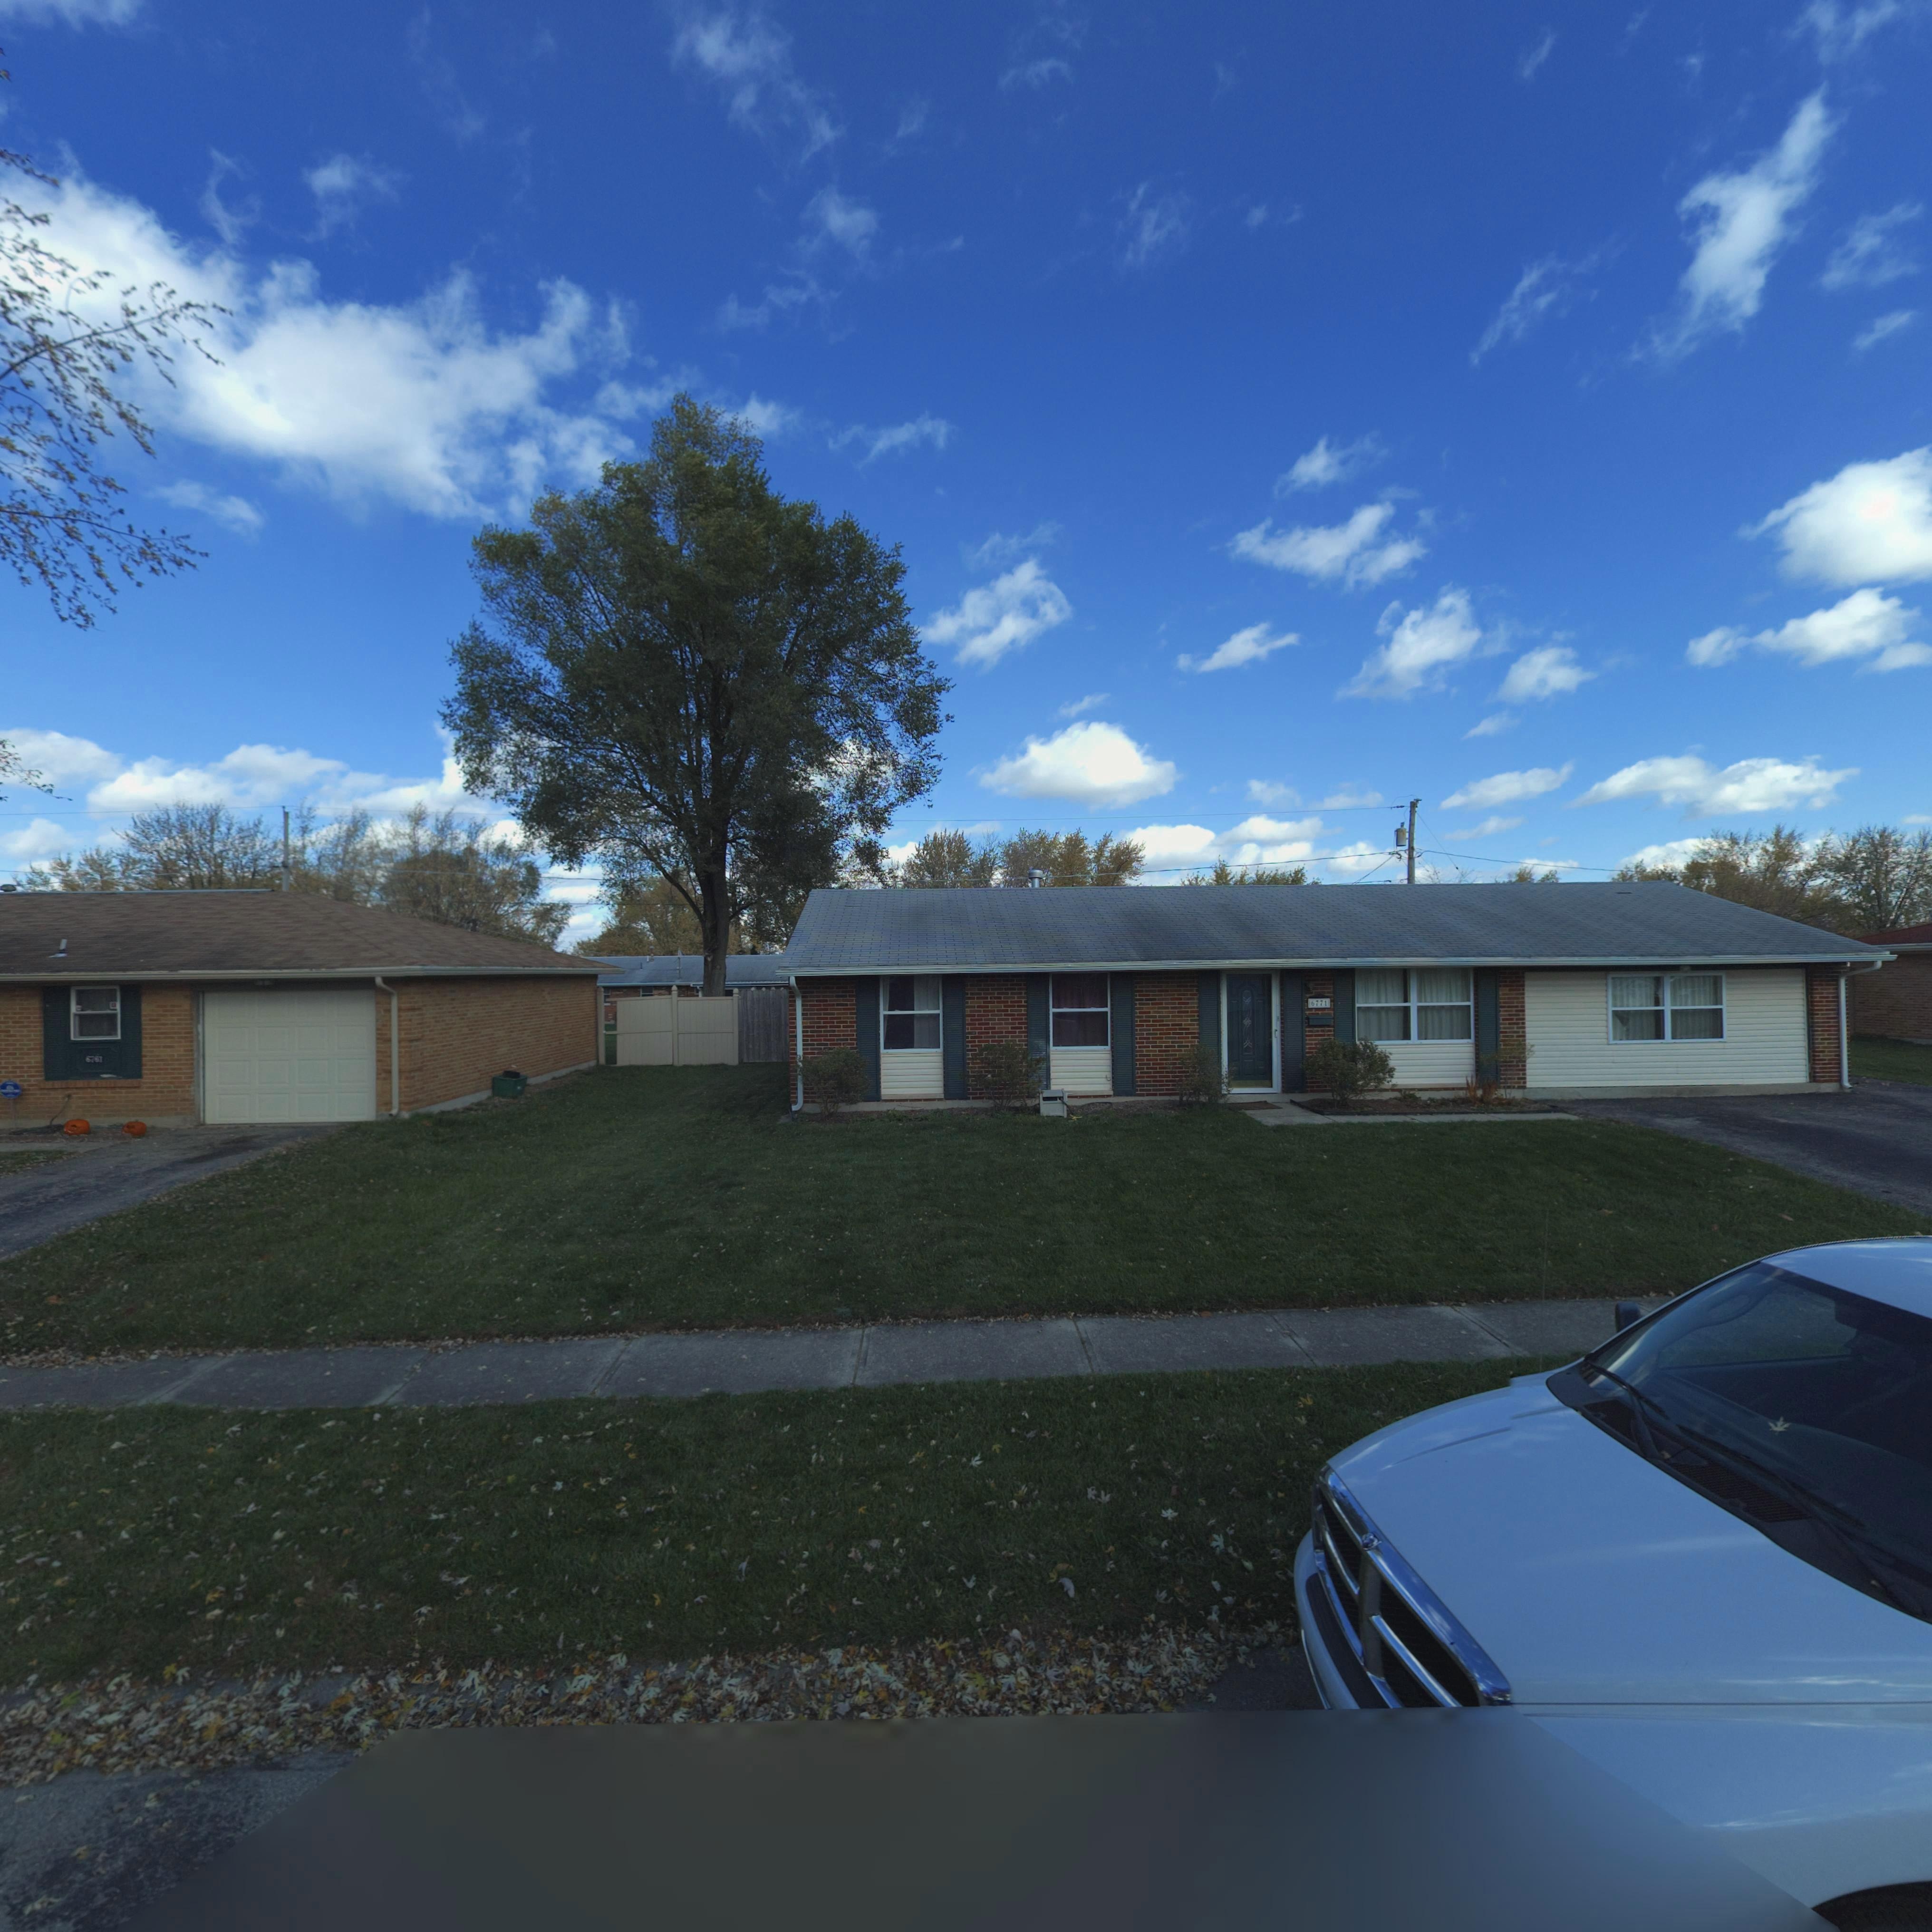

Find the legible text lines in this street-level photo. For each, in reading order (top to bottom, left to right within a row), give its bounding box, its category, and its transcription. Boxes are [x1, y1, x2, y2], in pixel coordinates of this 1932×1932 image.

[1311, 999, 1327, 1007] StreetNumber: 6771
[84, 1055, 104, 1063] StreetNumber: 6761